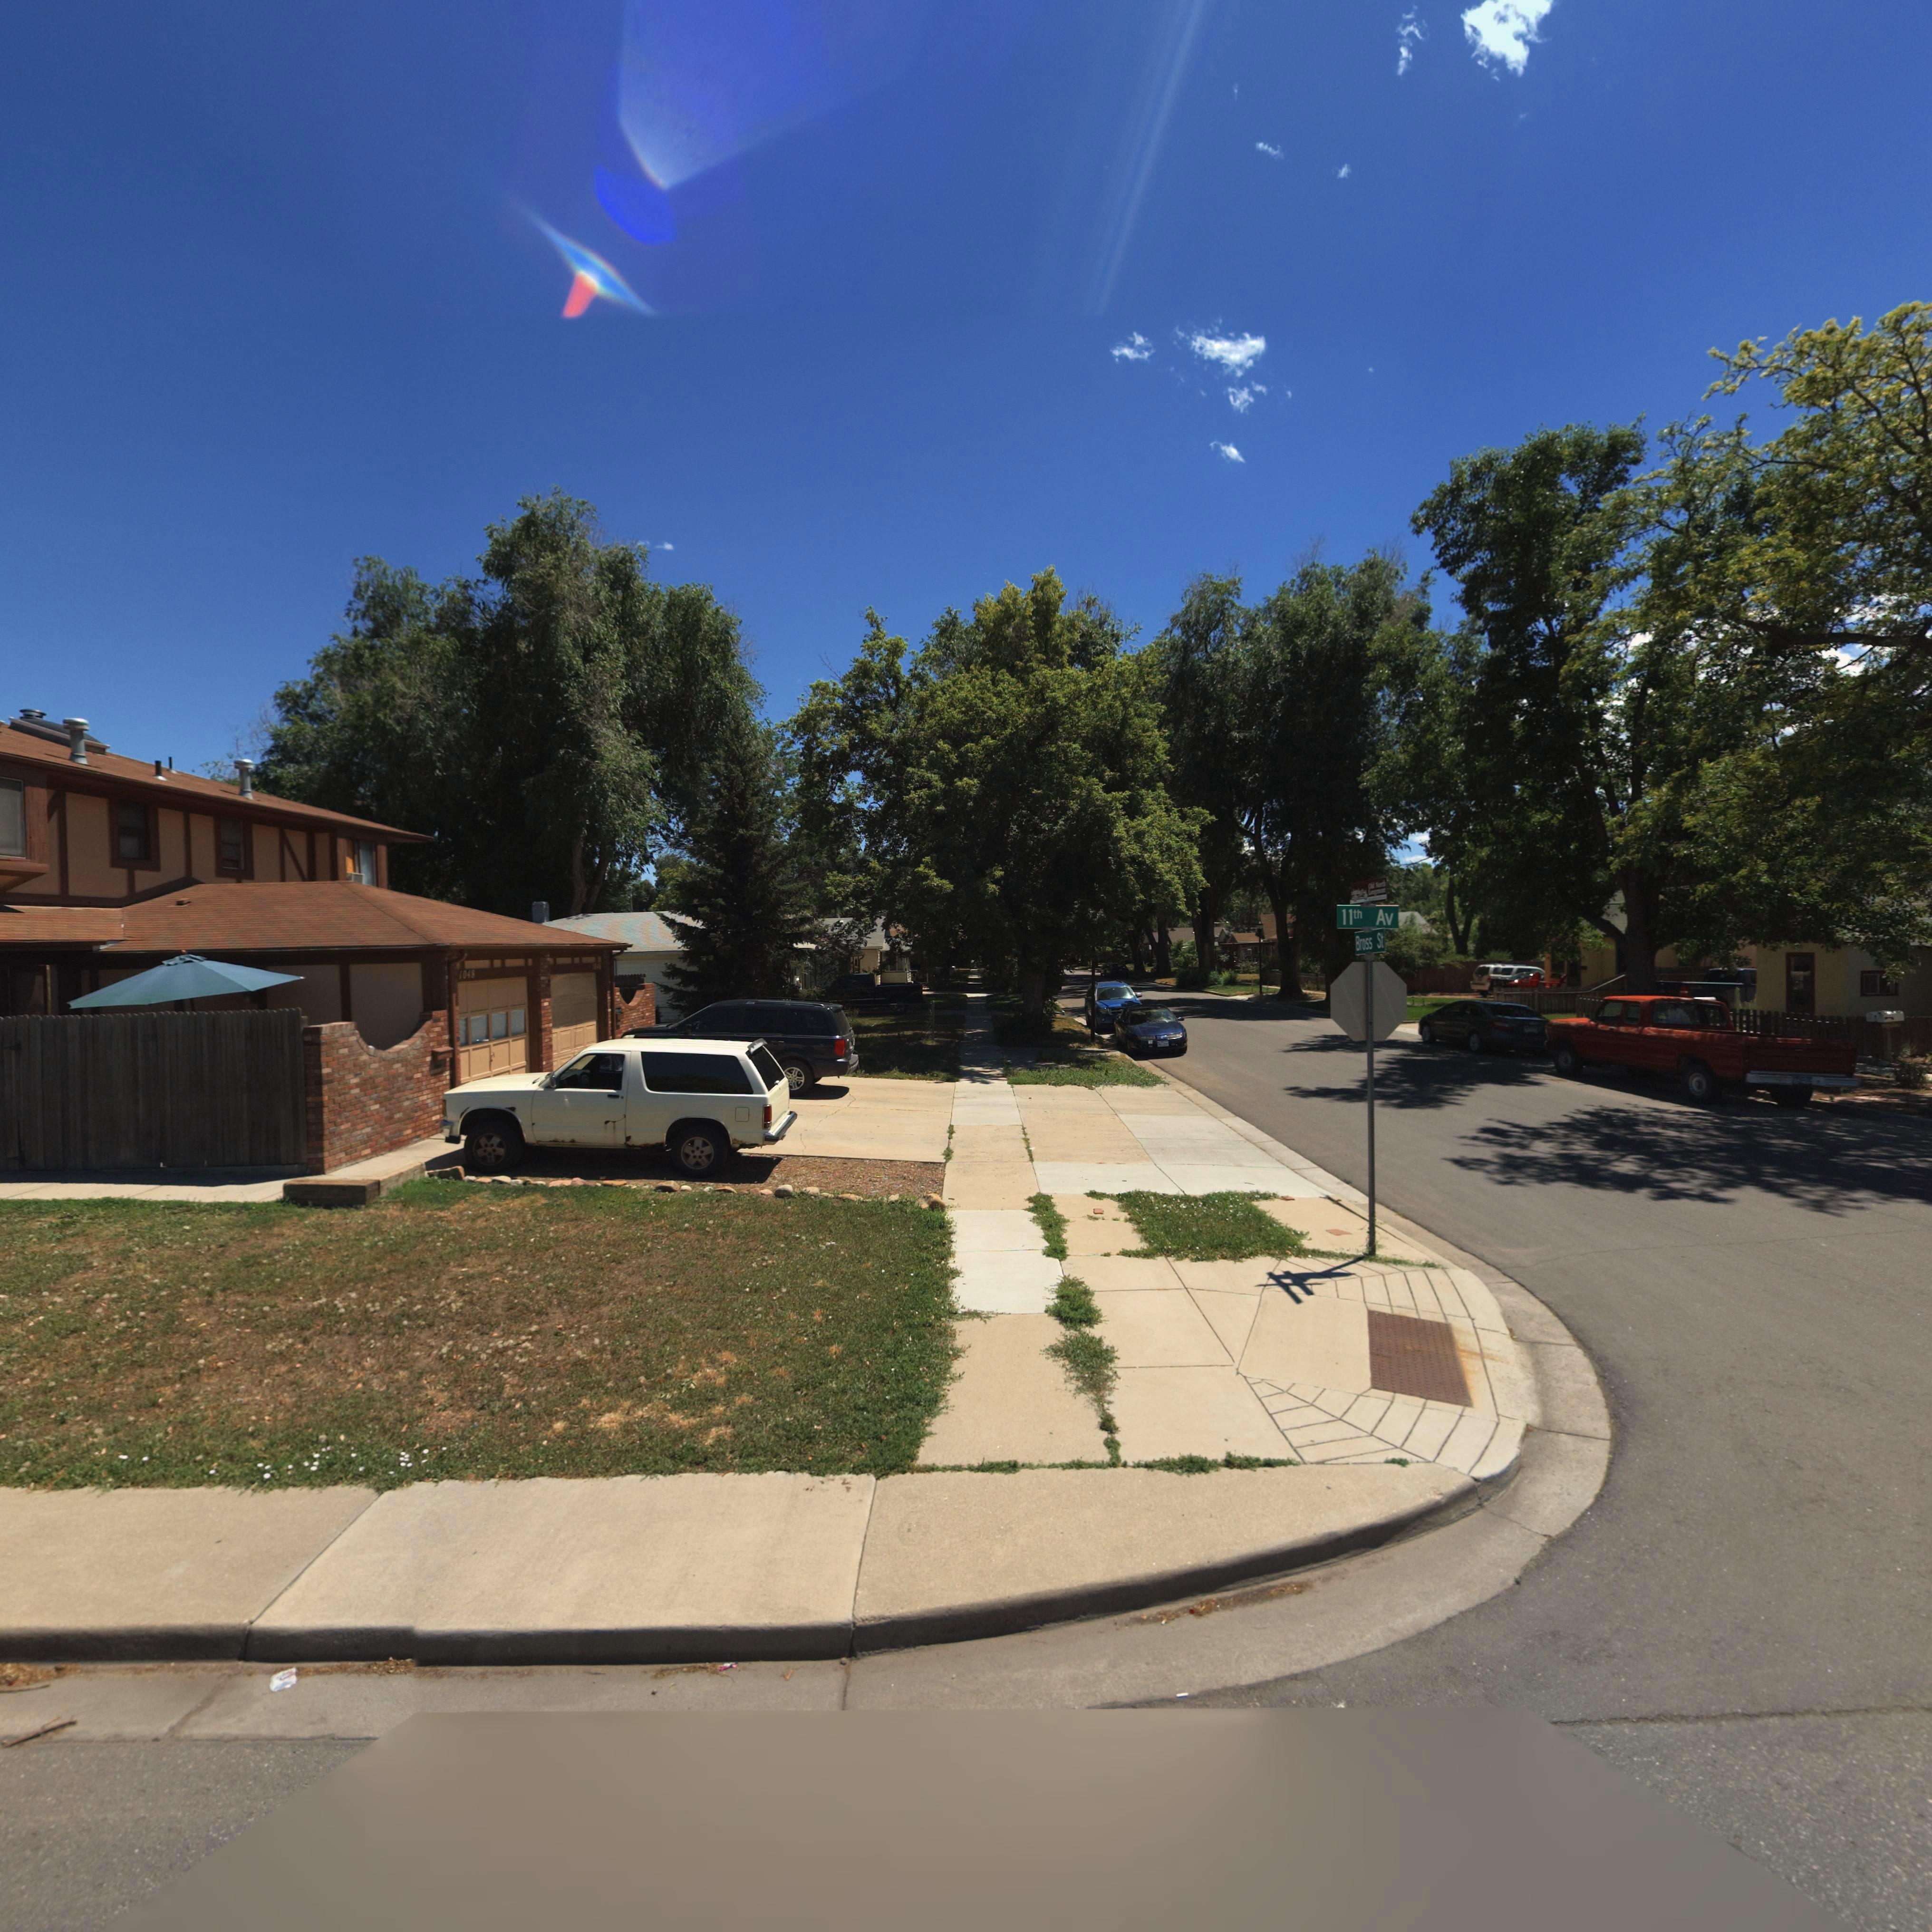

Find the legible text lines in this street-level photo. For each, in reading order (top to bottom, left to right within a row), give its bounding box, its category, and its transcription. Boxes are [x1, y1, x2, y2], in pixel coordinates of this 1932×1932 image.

[1341, 908, 1394, 926] StreetName: 11th Av
[1355, 931, 1384, 952] StreetName: Bross St
[458, 969, 475, 979] StreetNumber: 1048
[592, 962, 601, 970] StreetNumber: 1046